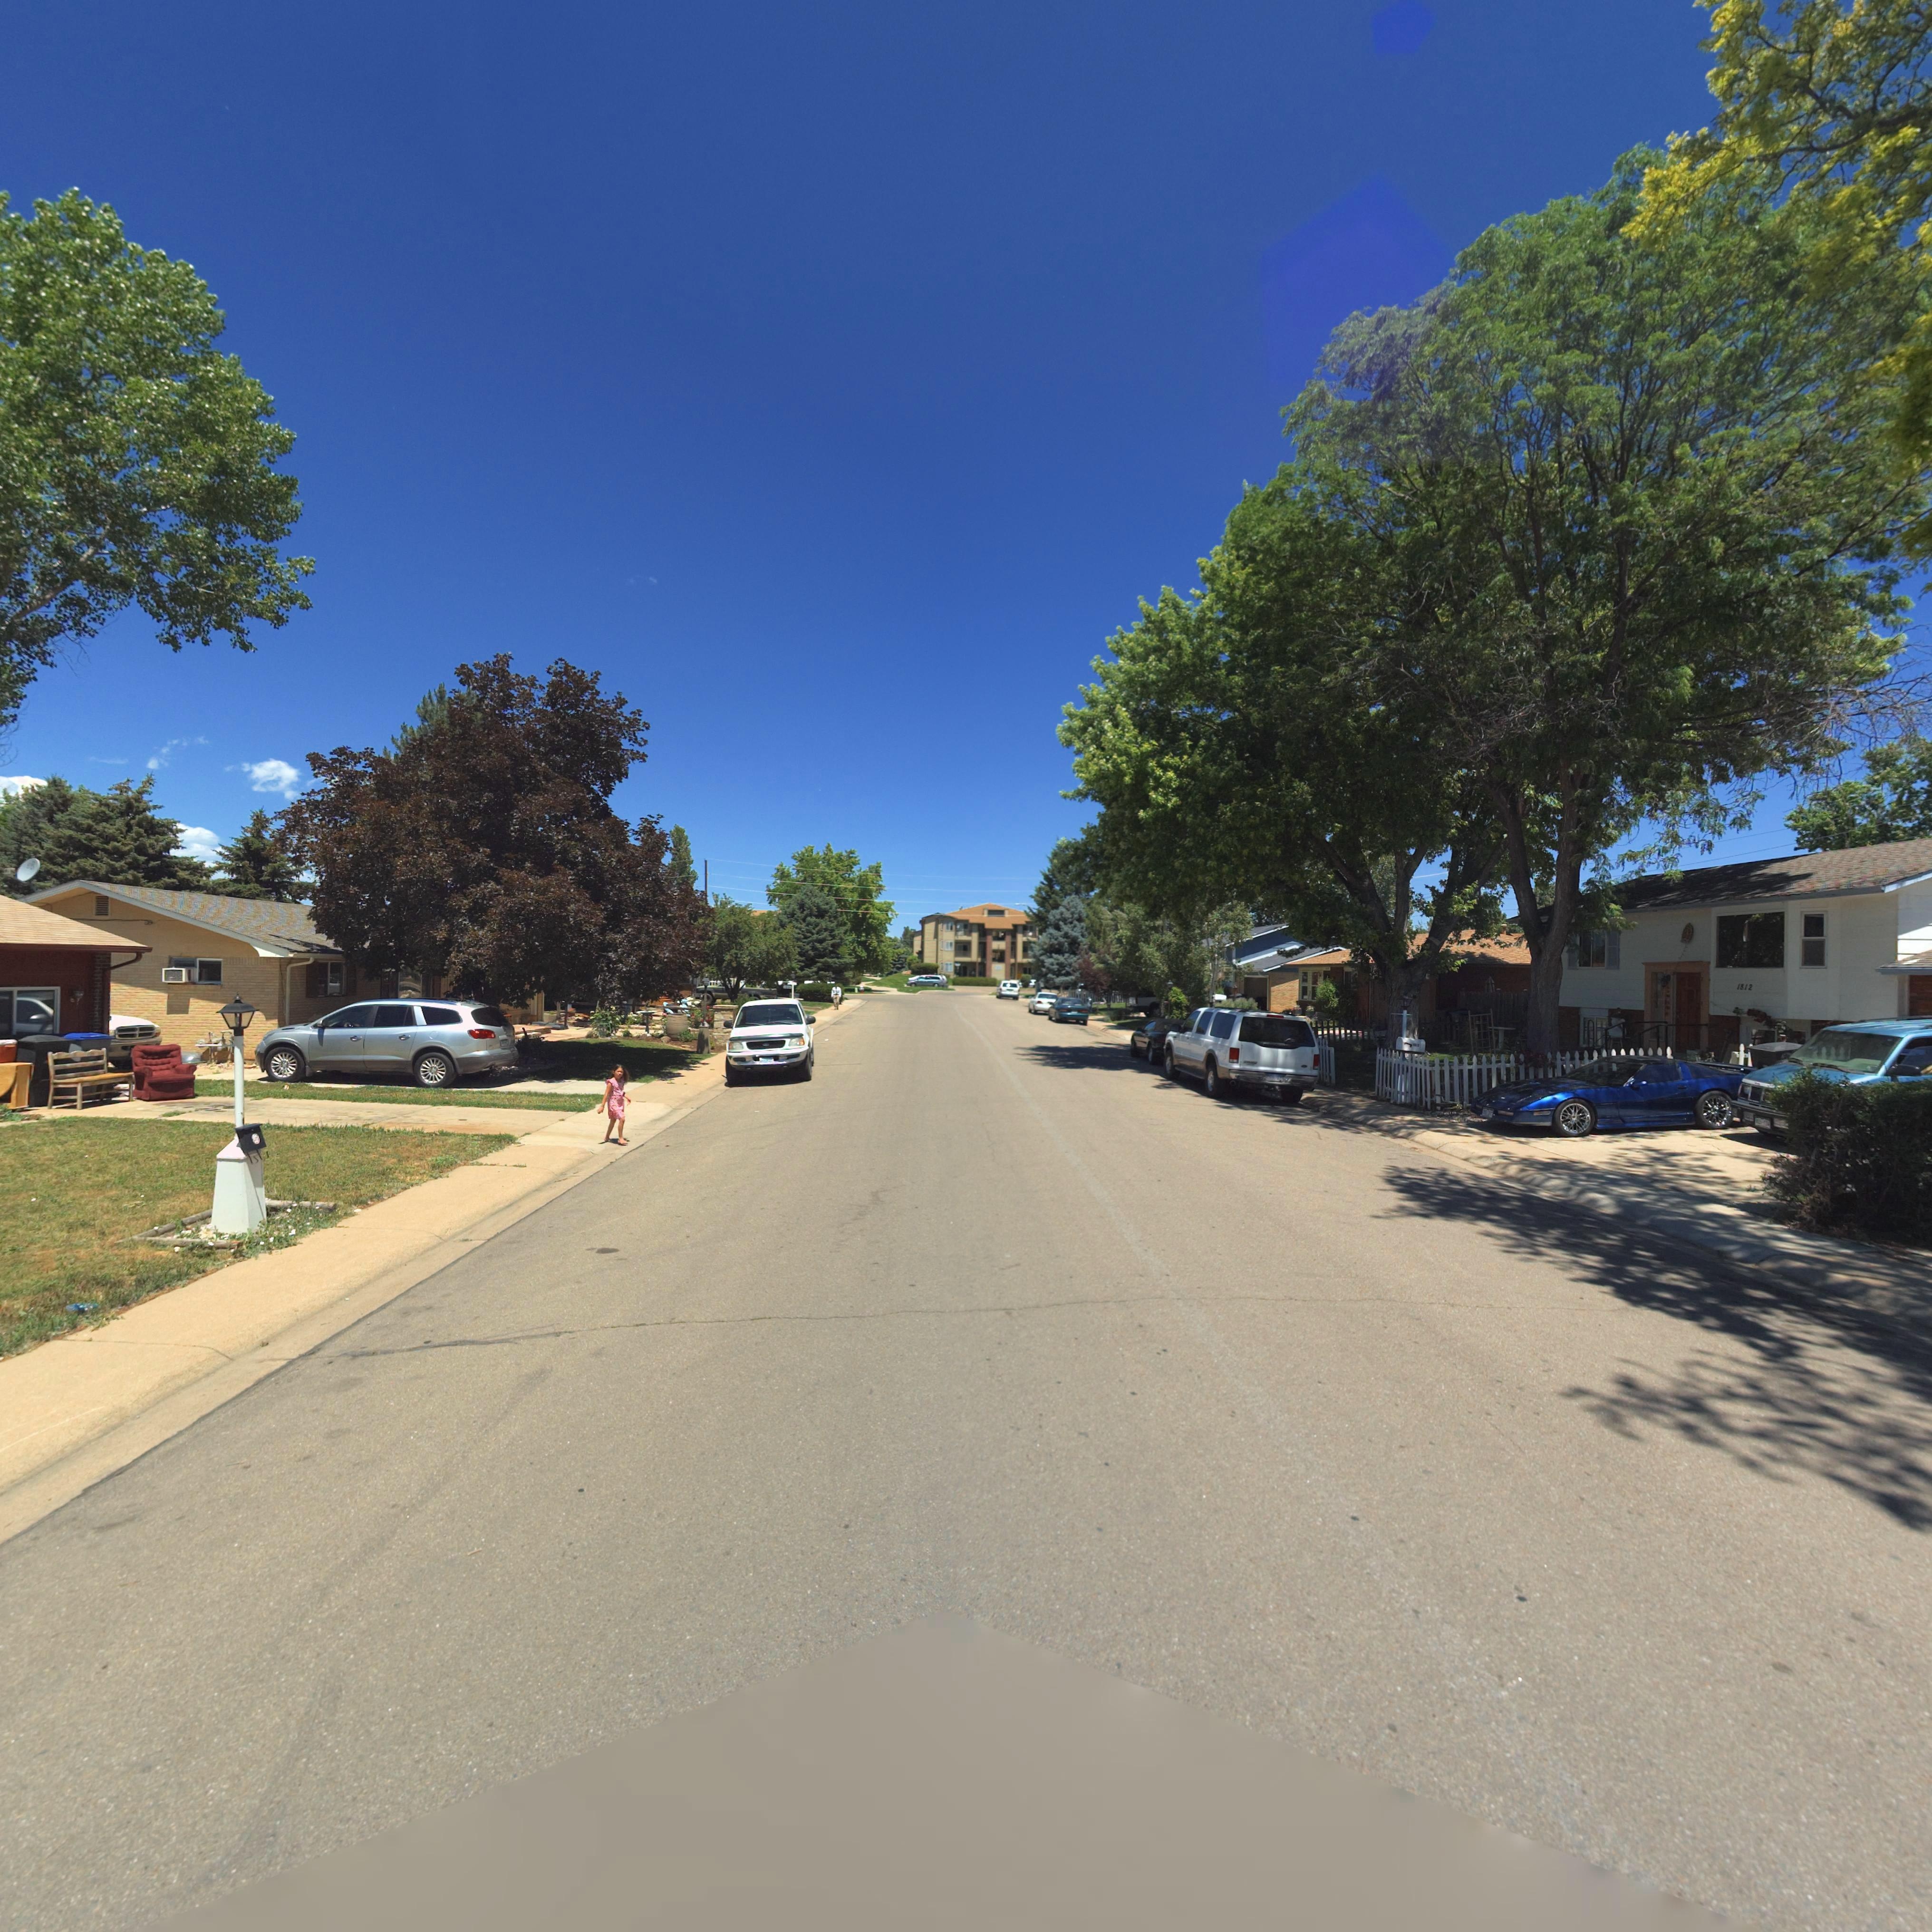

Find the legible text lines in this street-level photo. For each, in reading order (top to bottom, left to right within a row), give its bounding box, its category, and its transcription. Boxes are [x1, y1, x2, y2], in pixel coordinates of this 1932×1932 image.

[1736, 983, 1753, 990] StreetNumber: 1812
[1413, 1043, 1419, 1047] StreetNumber: 1812